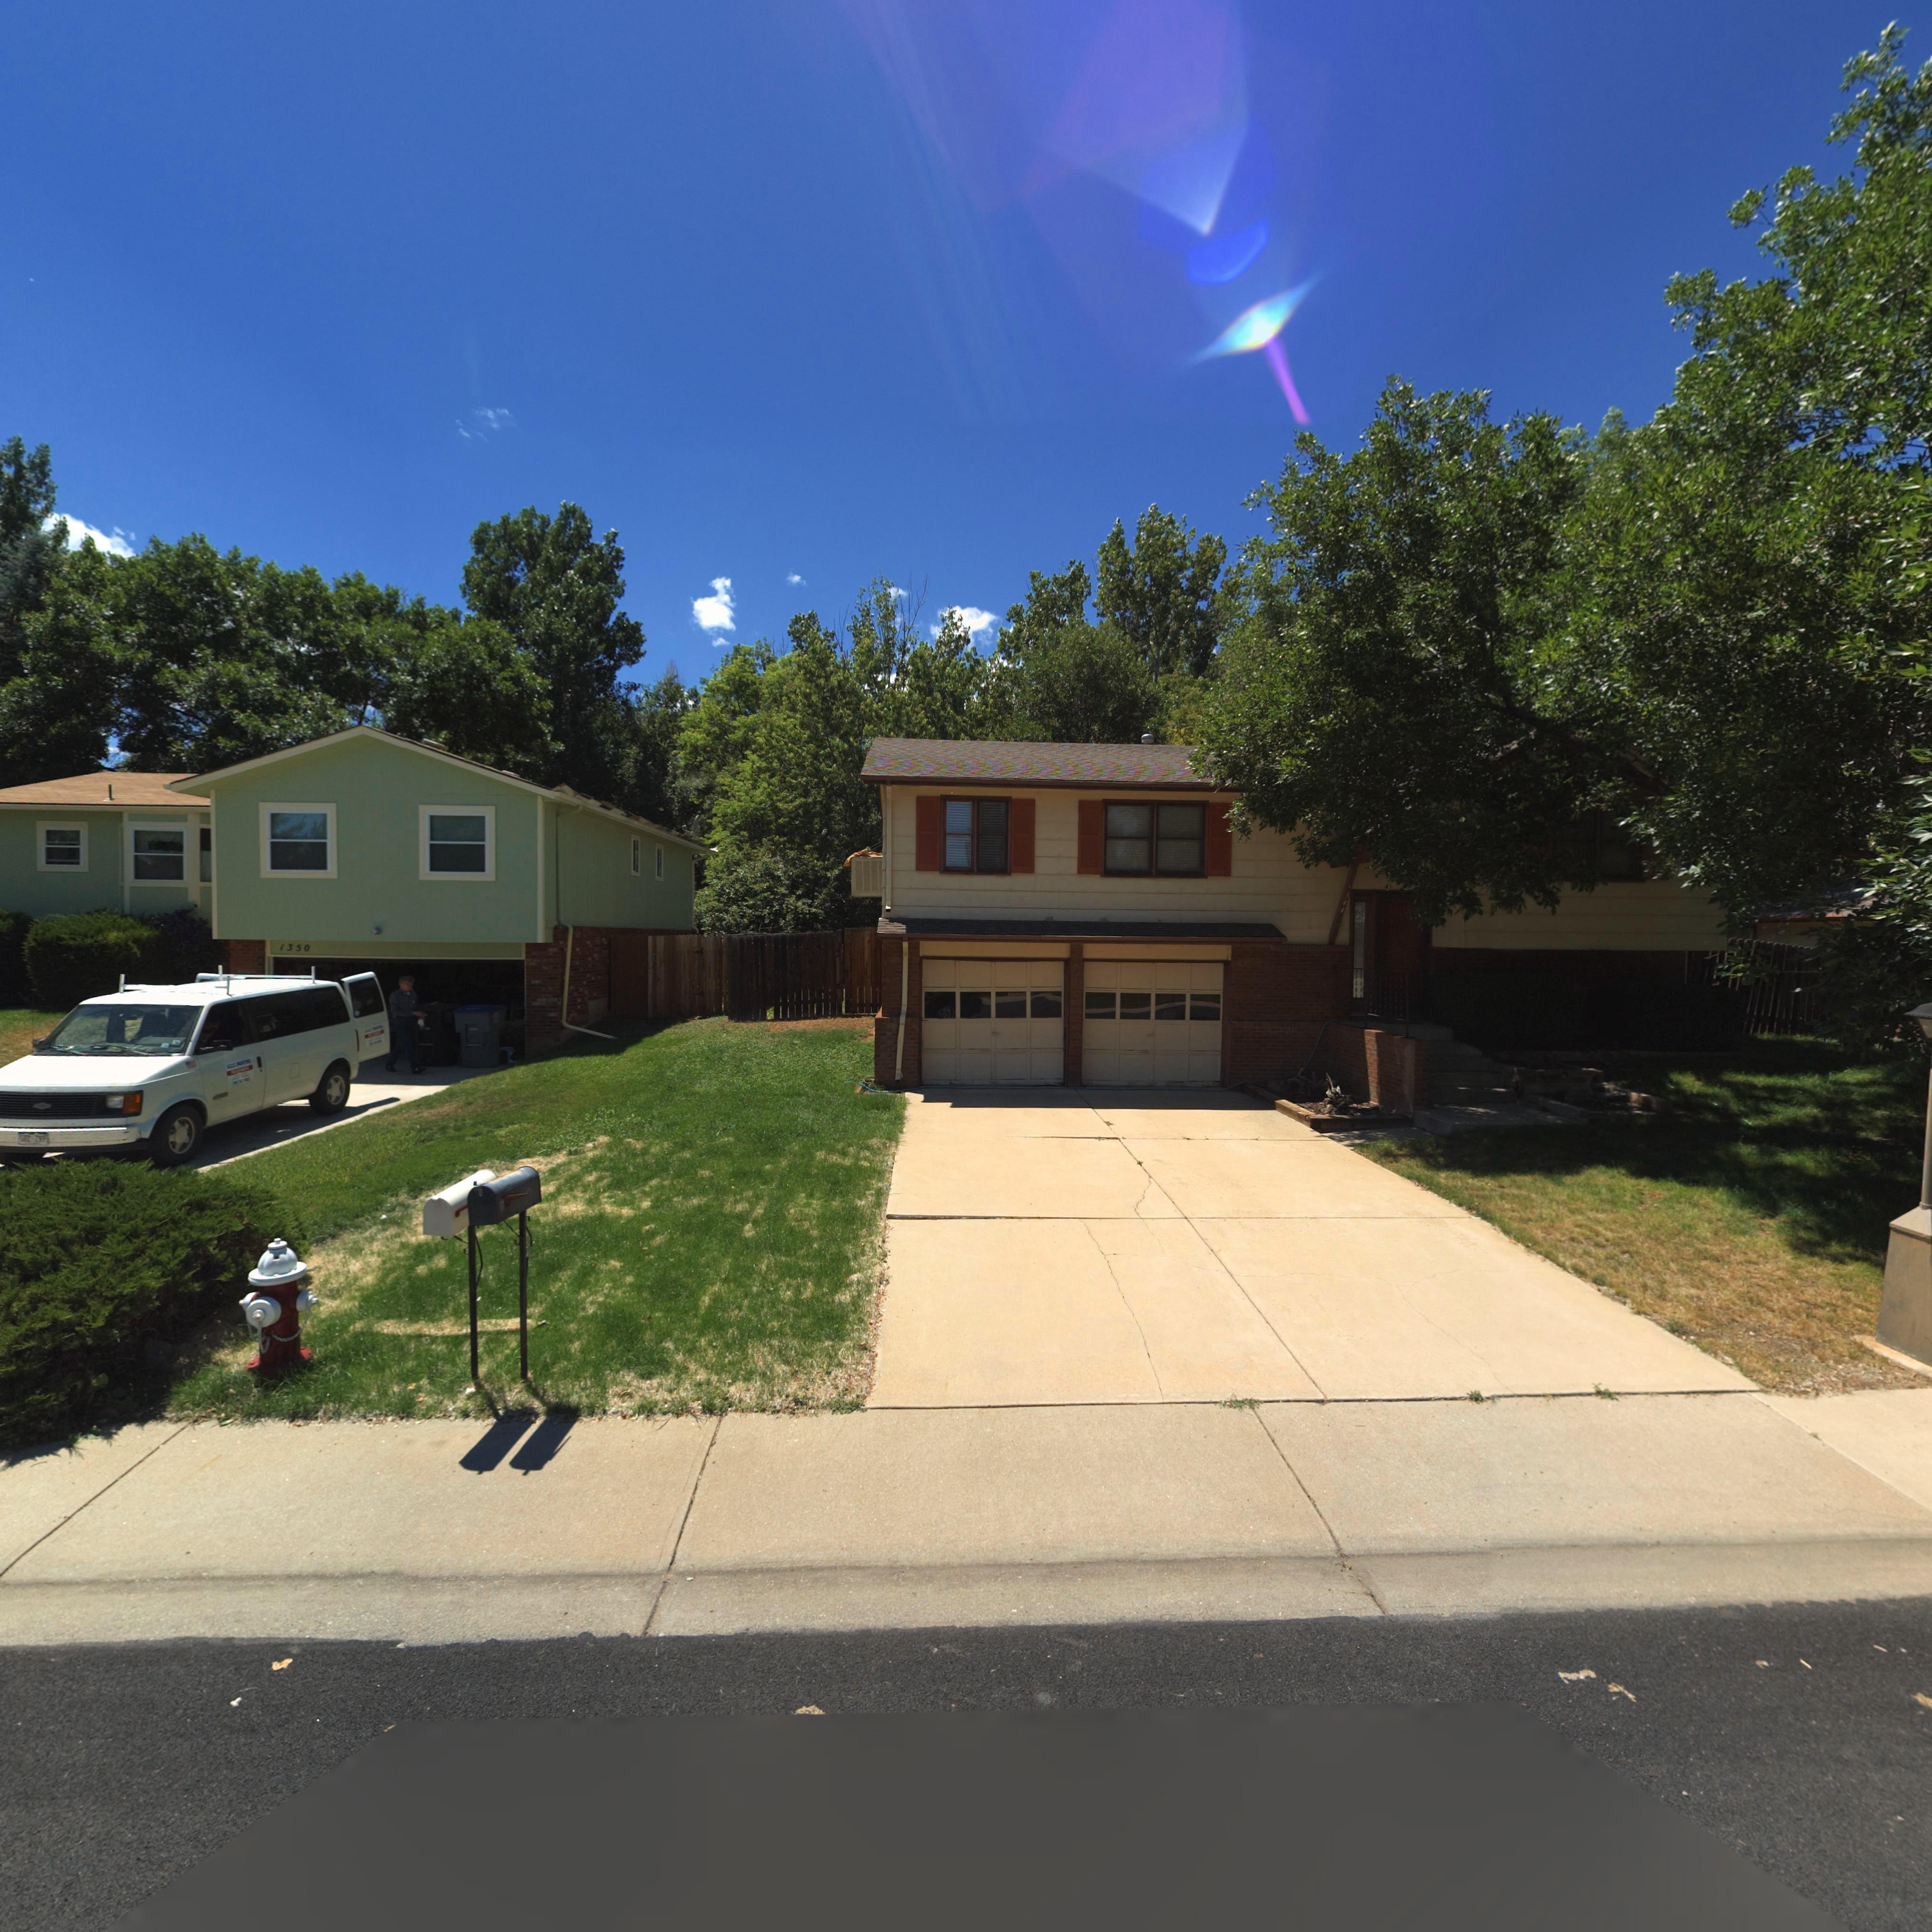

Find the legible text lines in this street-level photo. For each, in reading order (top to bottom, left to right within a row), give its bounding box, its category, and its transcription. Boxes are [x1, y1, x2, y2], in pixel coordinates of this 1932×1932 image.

[279, 943, 310, 952] StreetNumber: 1350